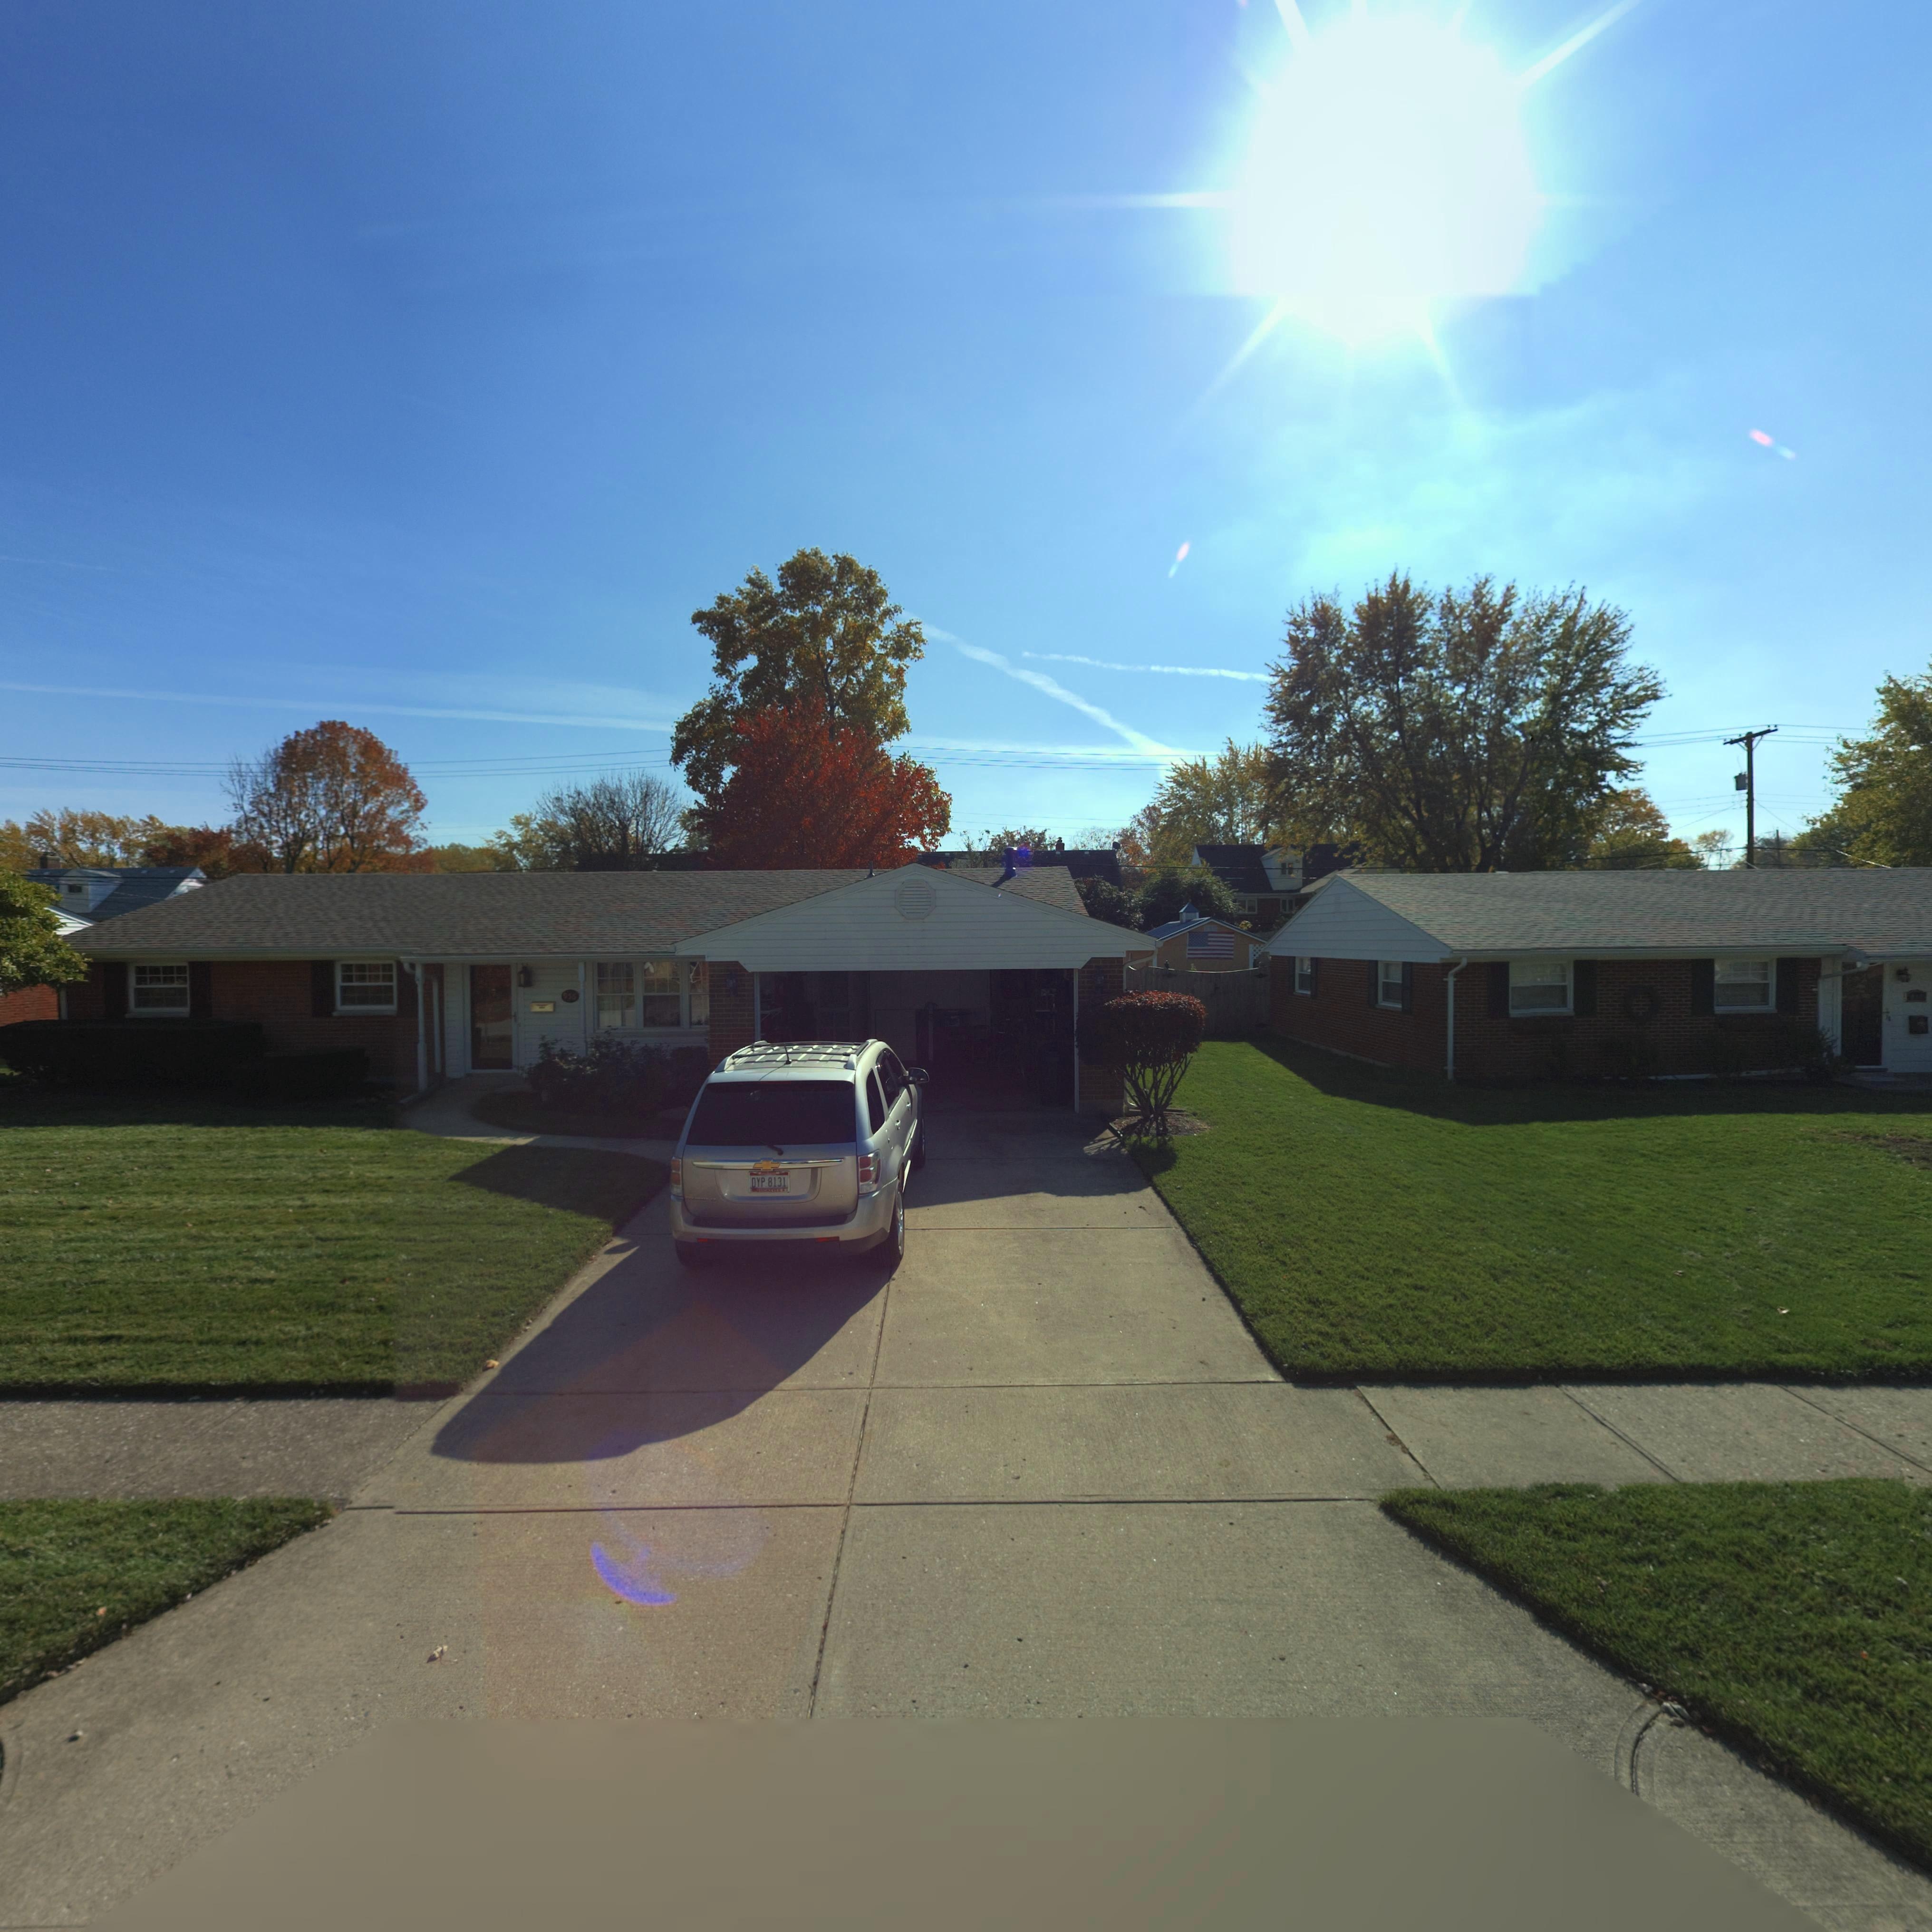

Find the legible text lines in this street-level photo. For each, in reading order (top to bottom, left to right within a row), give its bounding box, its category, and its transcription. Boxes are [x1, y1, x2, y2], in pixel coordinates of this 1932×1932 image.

[561, 991, 578, 1001] StreetNumber: 956
[751, 1176, 787, 1188] None: DYP 8131